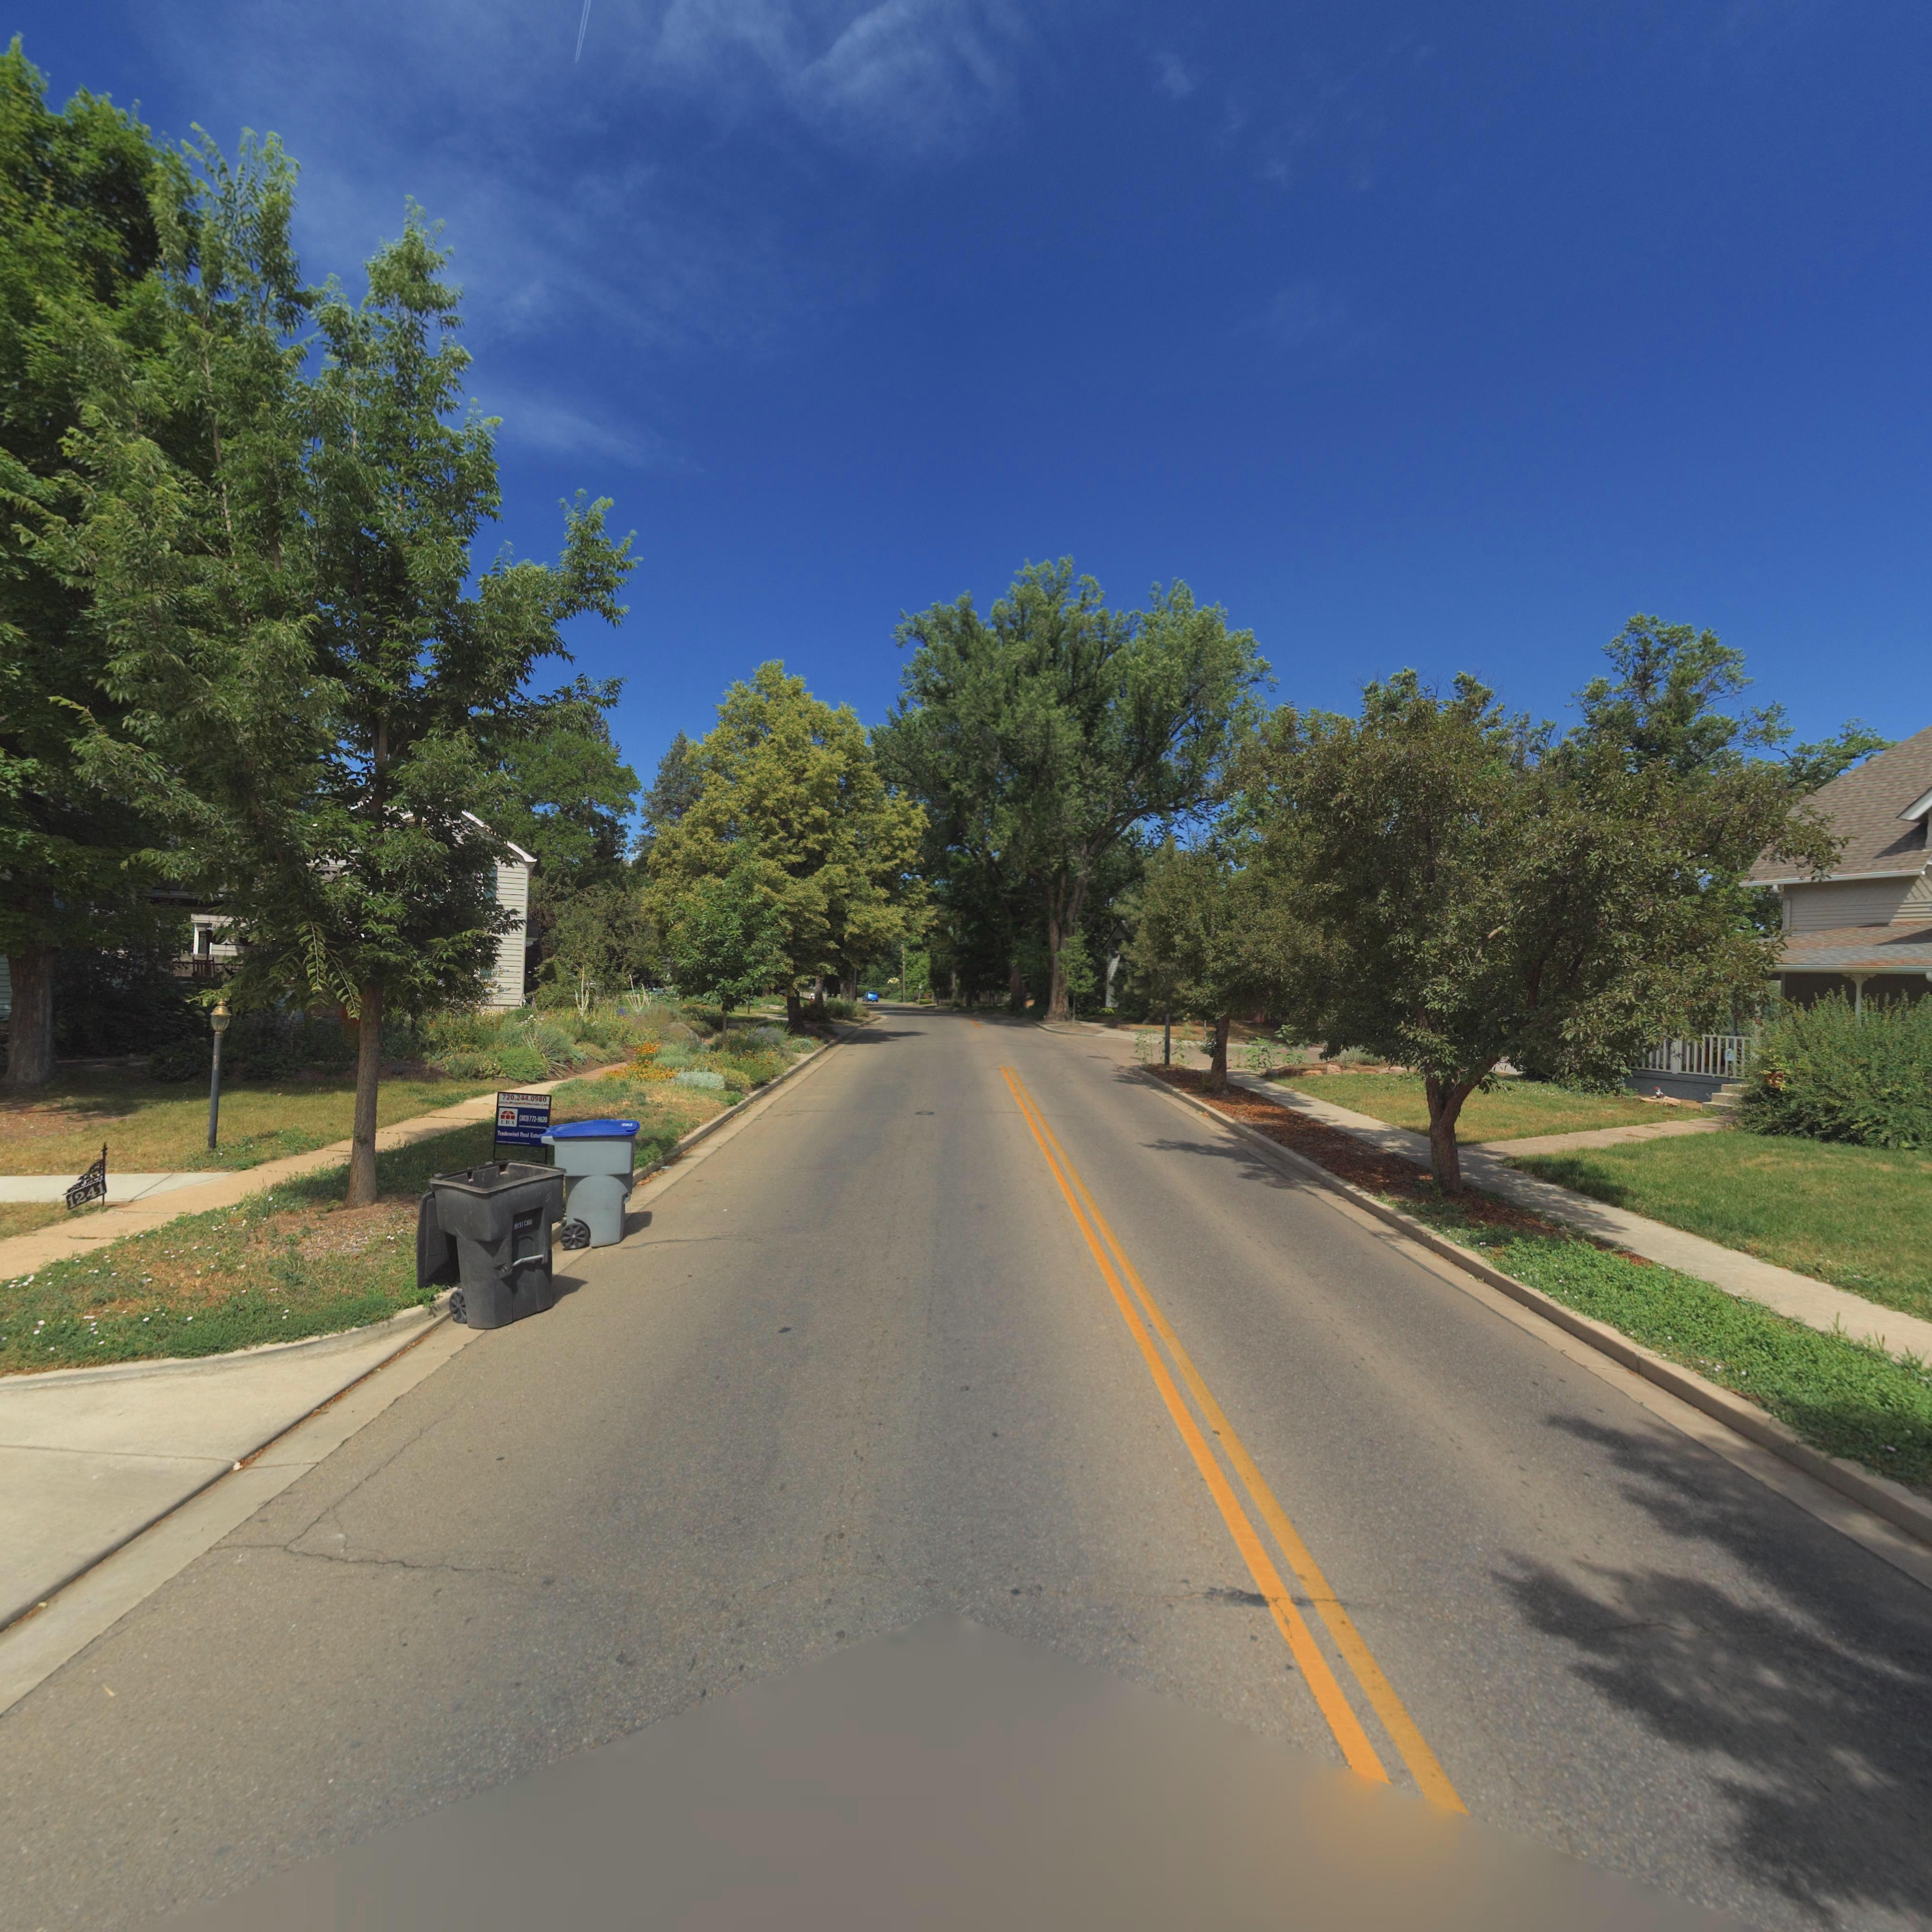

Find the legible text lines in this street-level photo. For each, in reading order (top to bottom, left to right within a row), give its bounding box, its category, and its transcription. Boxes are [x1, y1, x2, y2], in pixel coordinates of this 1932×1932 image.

[67, 1182, 105, 1208] StreetNumber: 1241